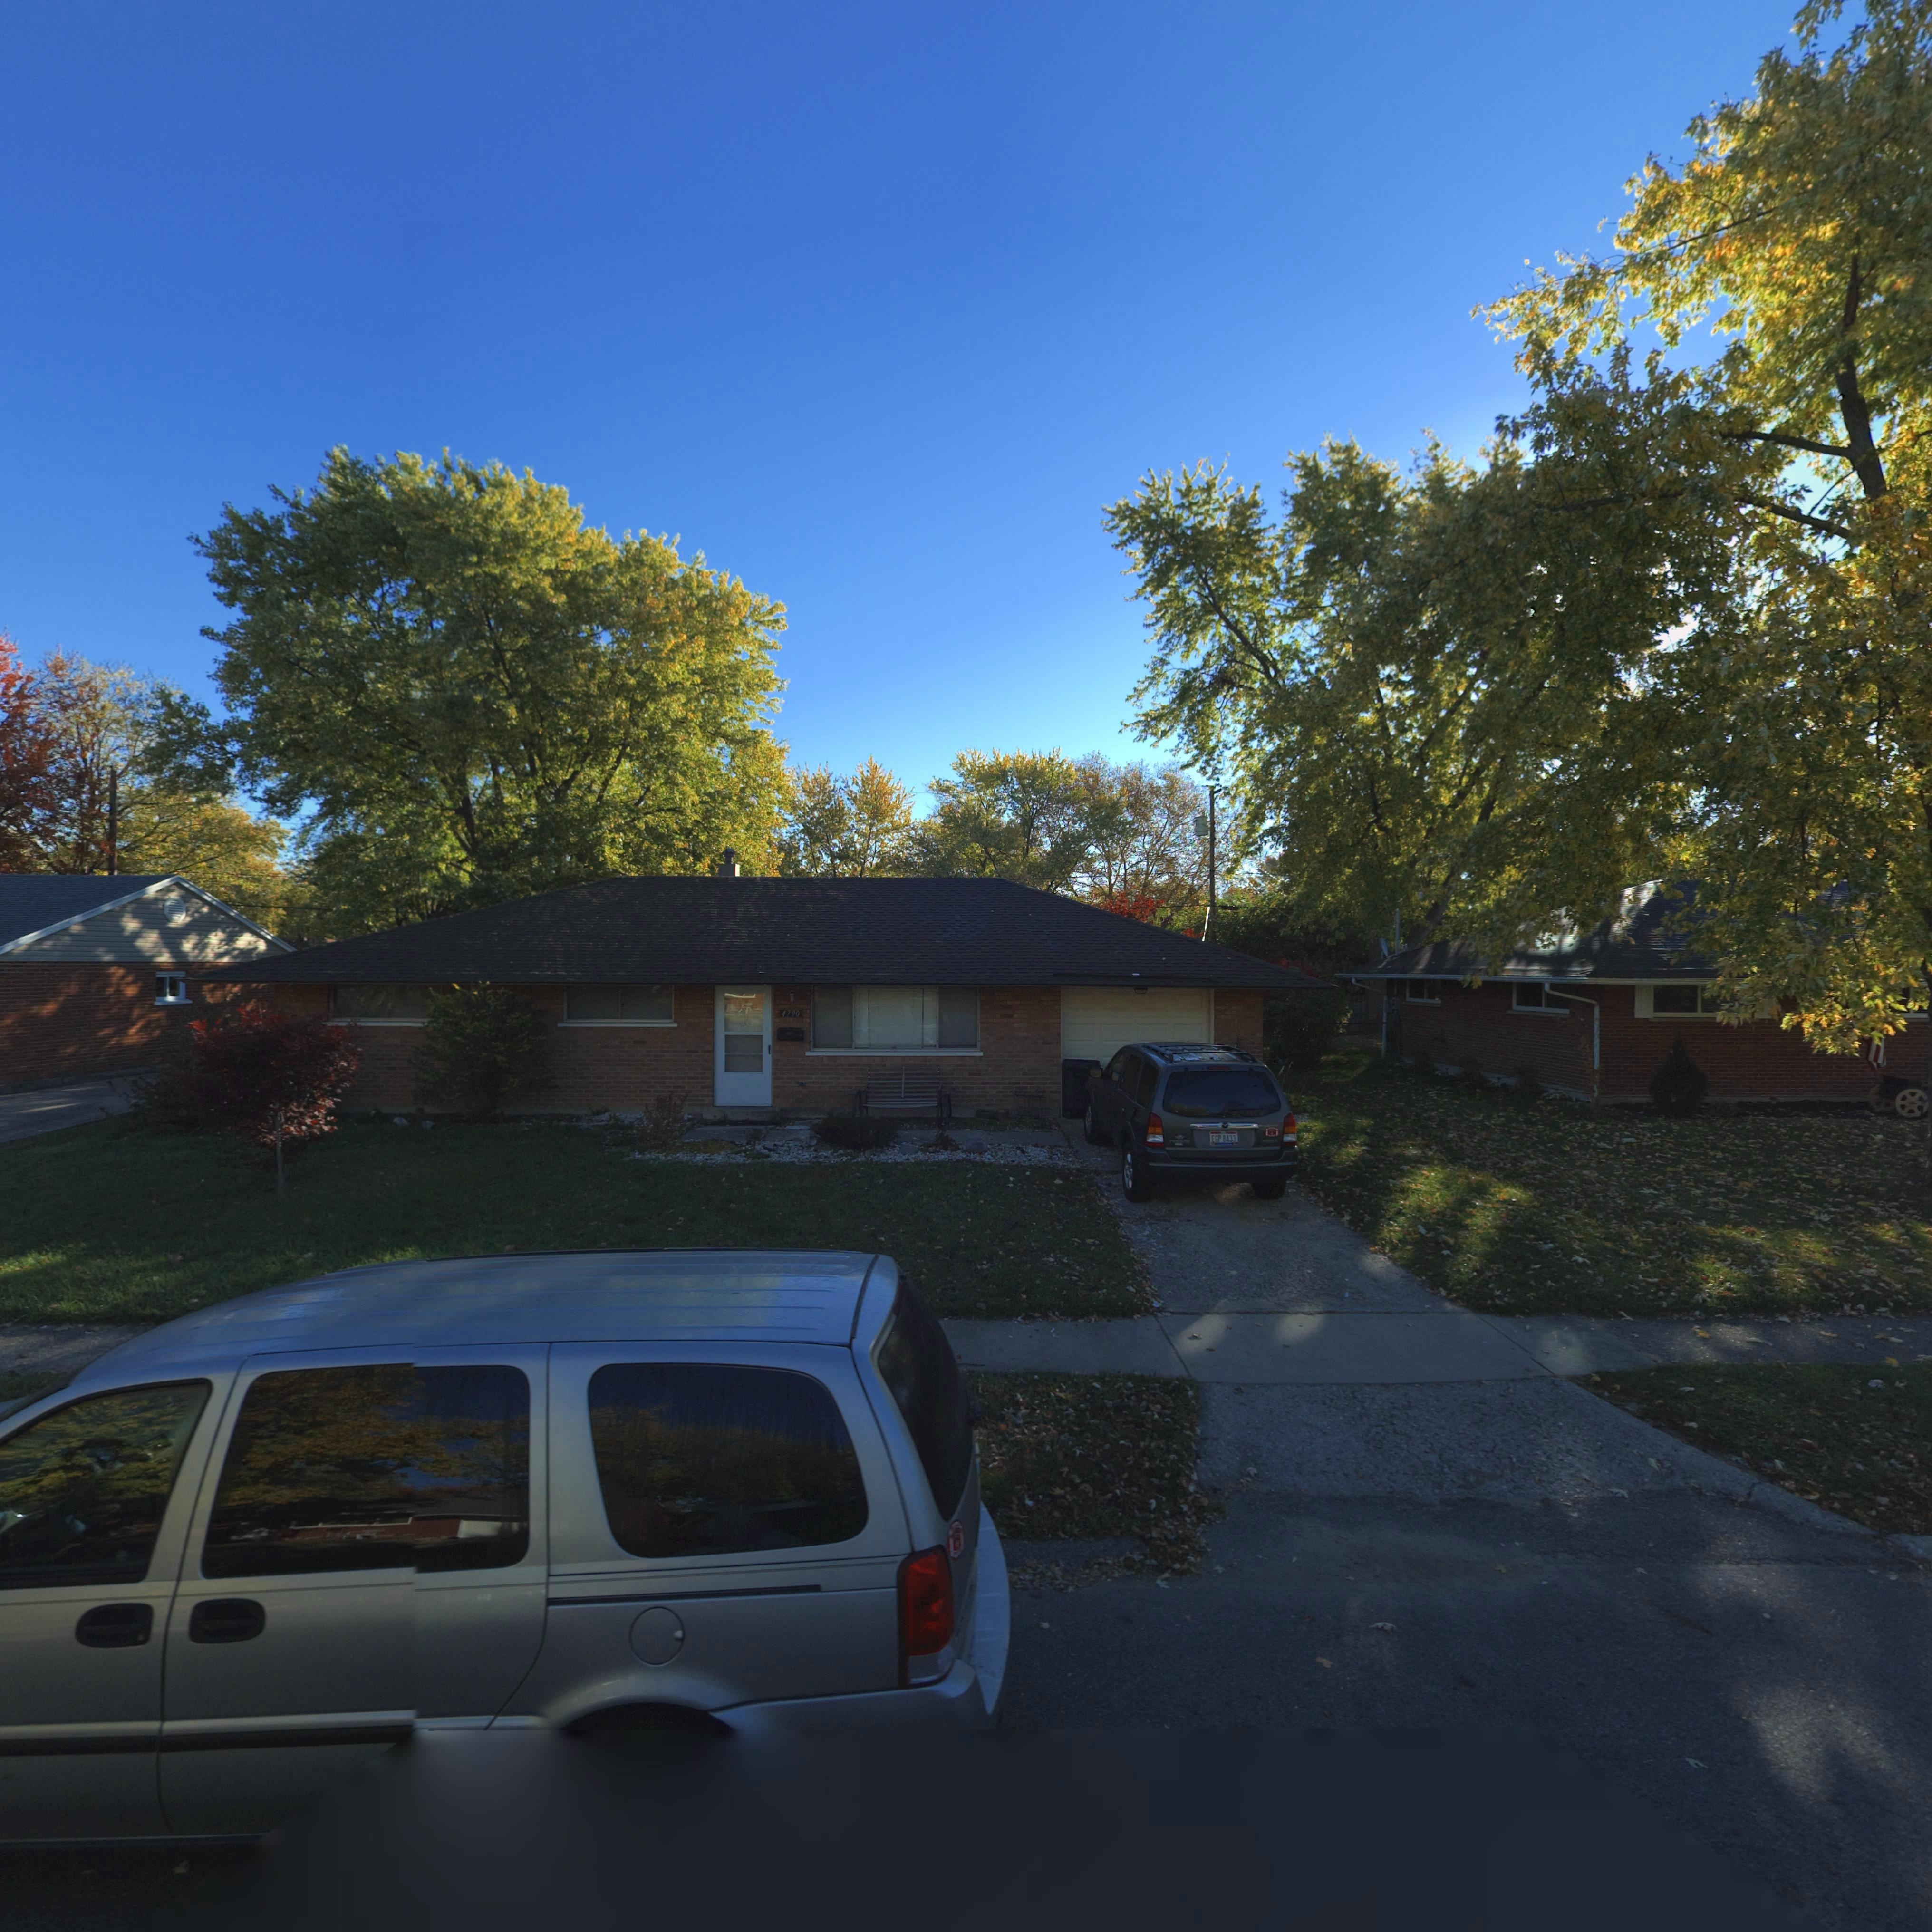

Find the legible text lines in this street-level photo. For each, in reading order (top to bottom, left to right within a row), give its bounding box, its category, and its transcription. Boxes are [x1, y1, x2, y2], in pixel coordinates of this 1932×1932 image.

[781, 1010, 800, 1017] StreetNumber: 4790